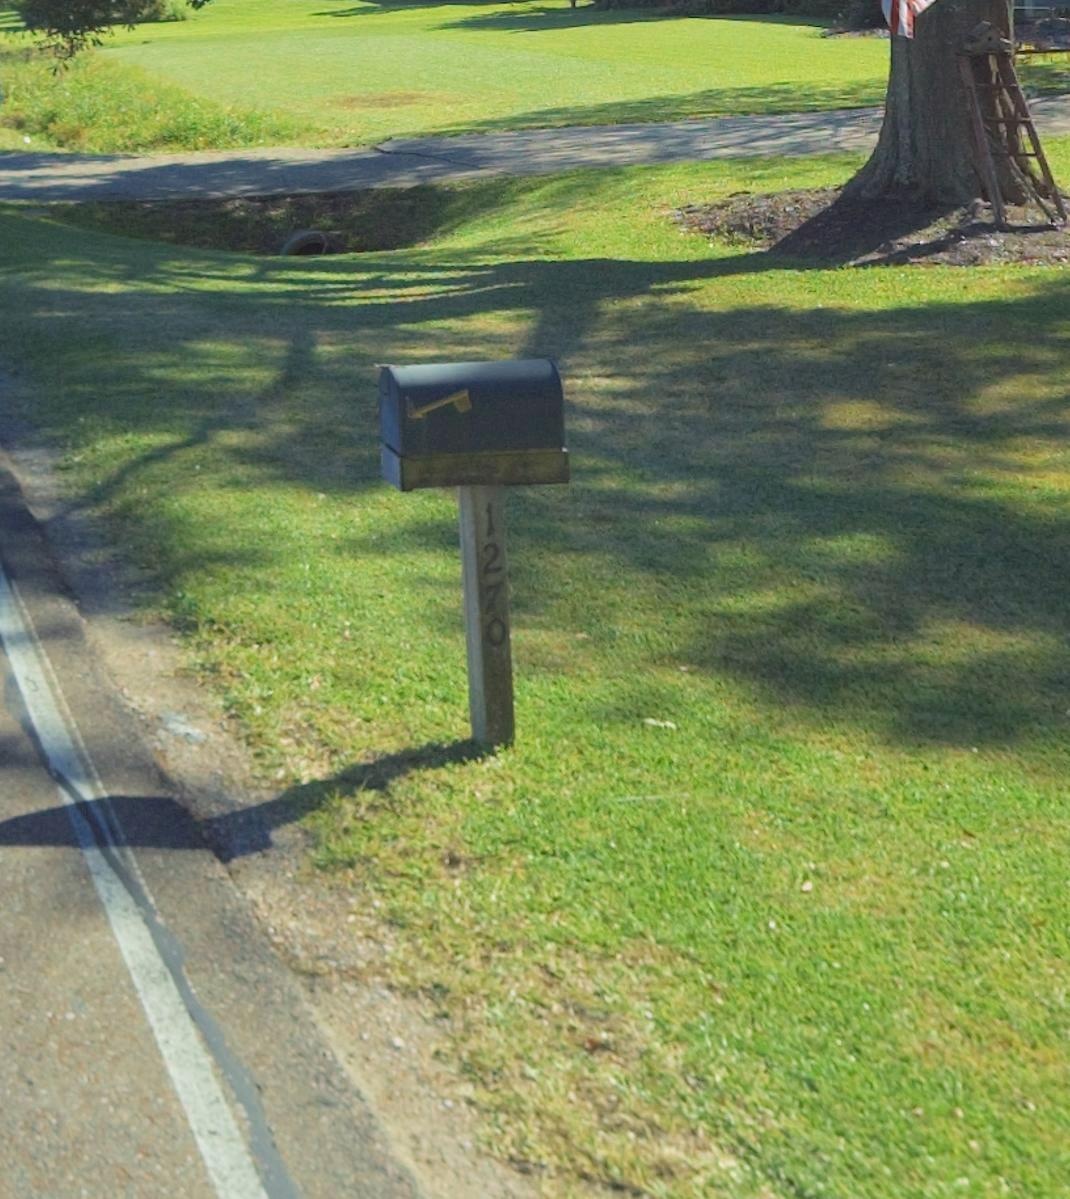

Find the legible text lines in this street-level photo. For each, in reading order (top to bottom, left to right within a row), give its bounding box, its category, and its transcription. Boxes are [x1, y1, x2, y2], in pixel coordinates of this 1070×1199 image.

[480, 498, 507, 649] StreetNumber: 1270